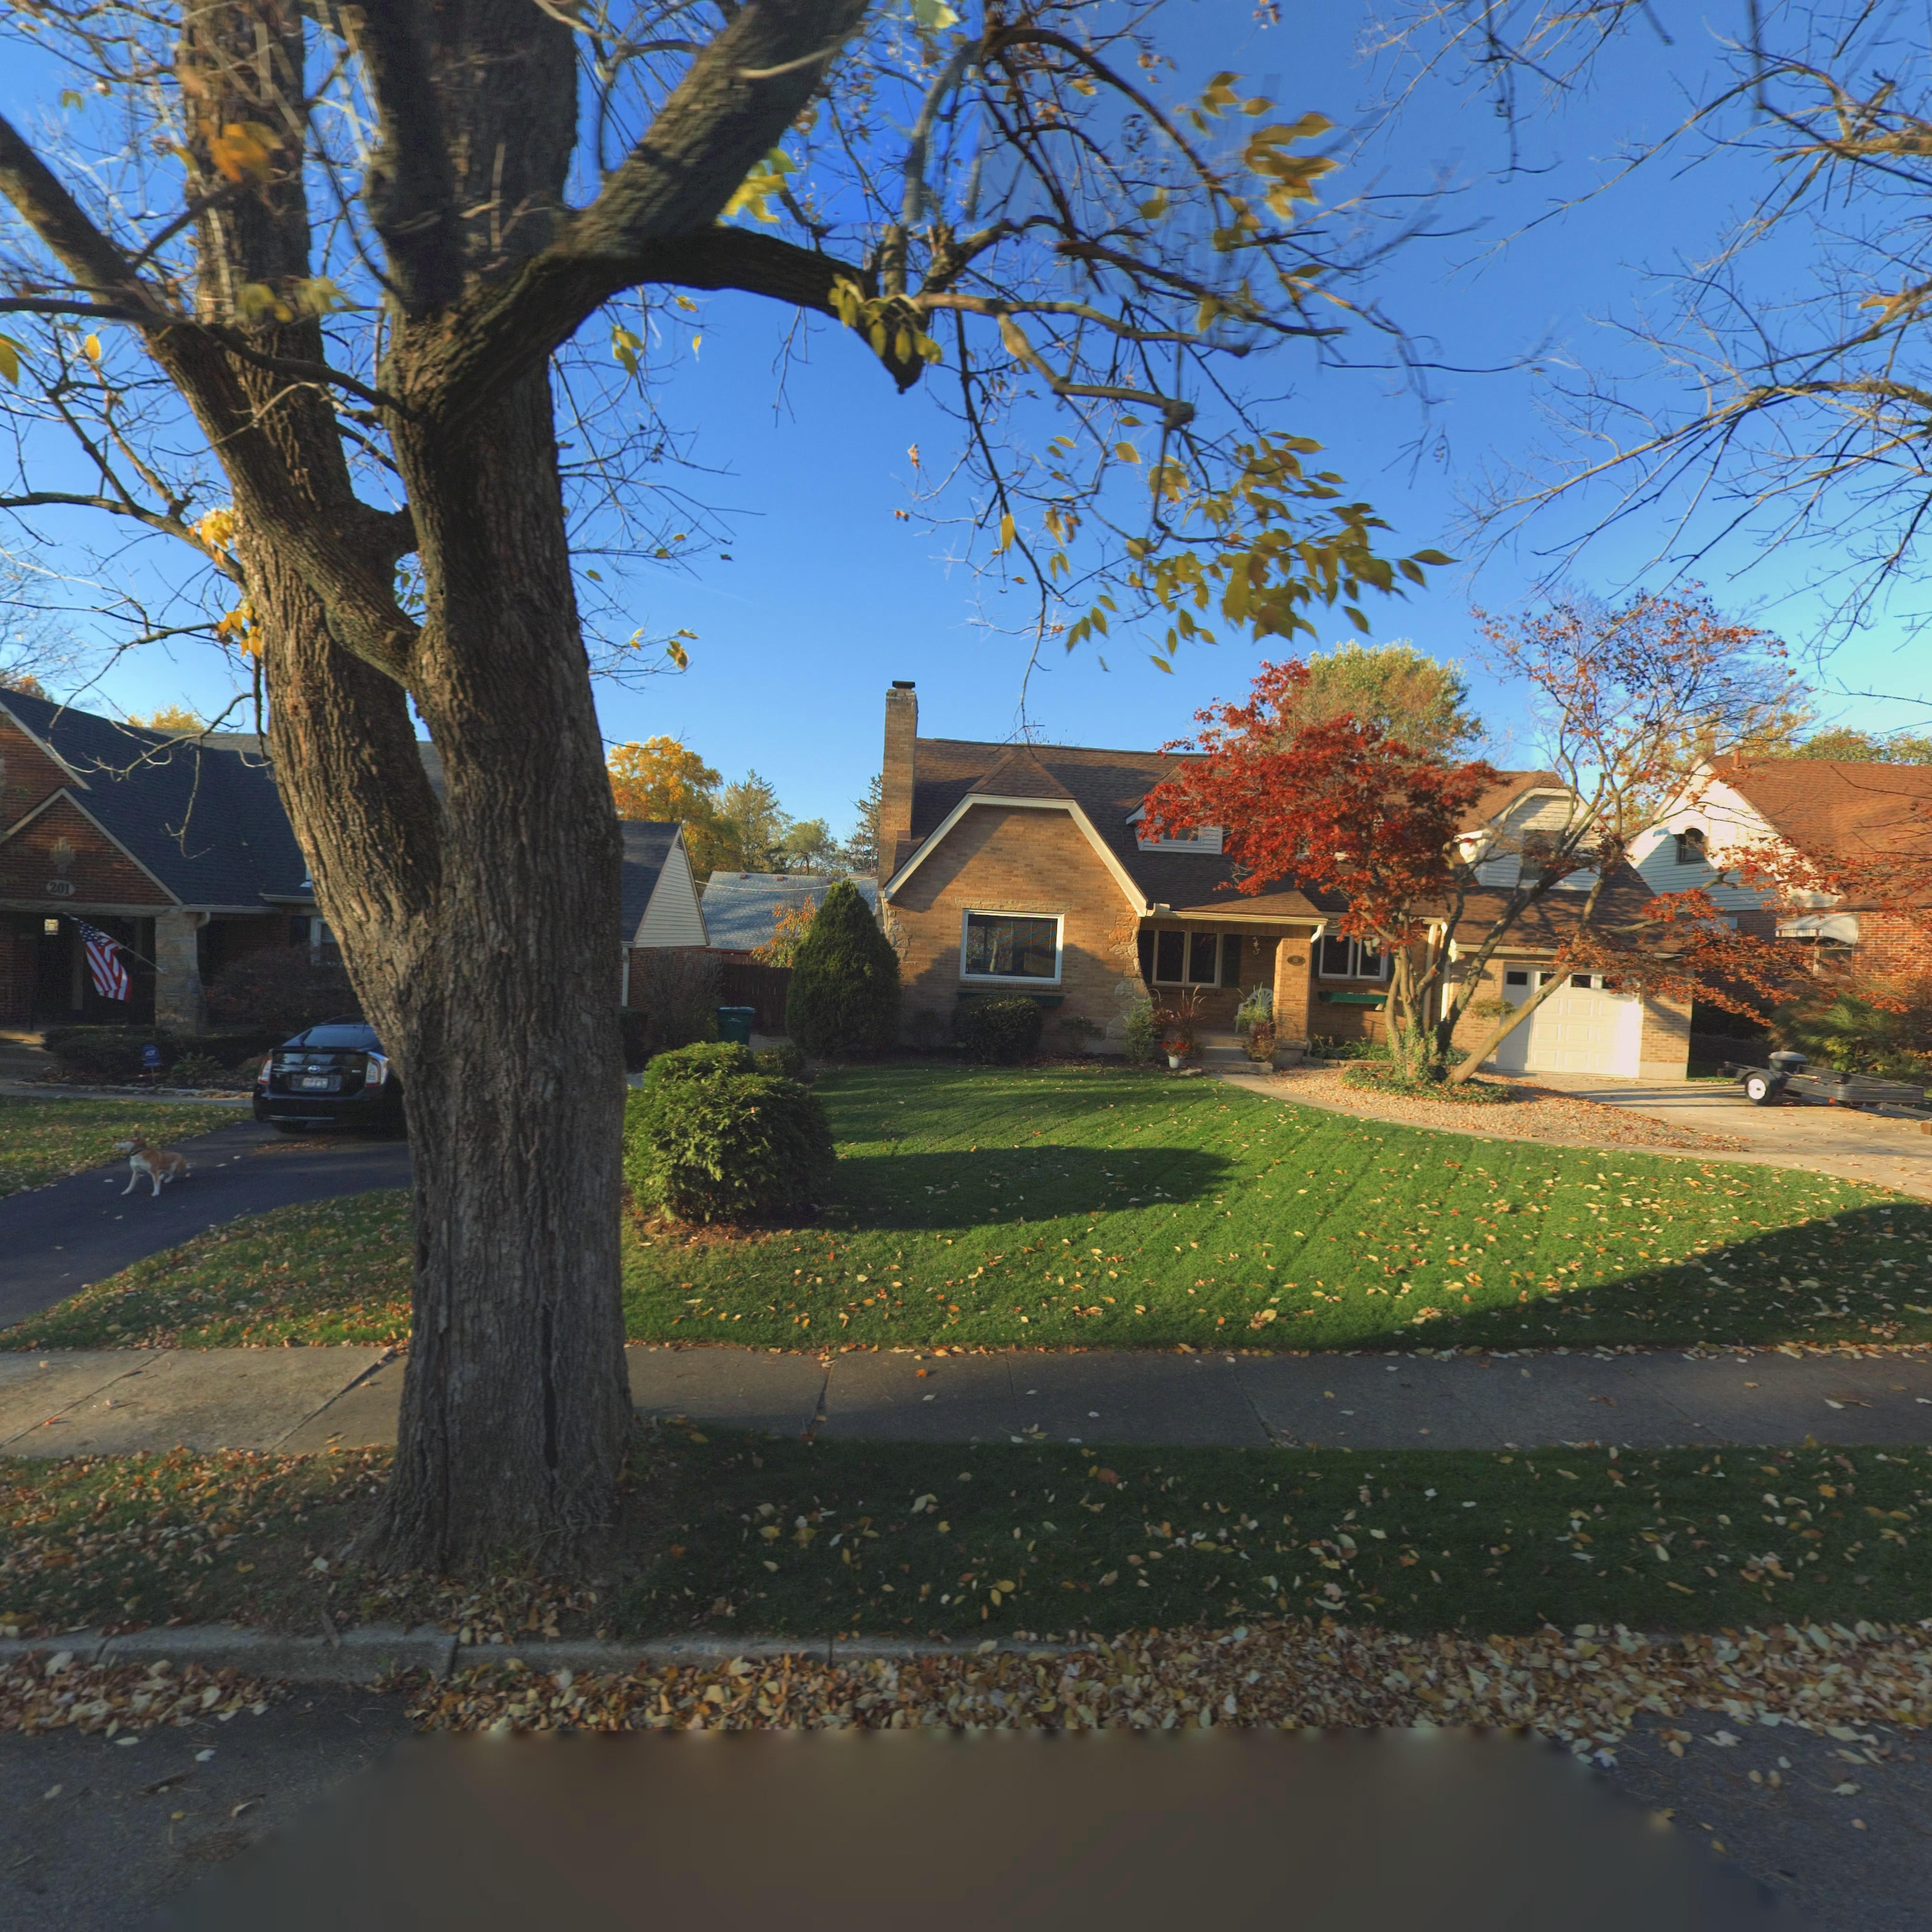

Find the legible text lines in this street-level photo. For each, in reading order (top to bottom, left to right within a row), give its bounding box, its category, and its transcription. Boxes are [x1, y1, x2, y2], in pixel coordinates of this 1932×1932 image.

[48, 881, 69, 895] StreetNumber: 201